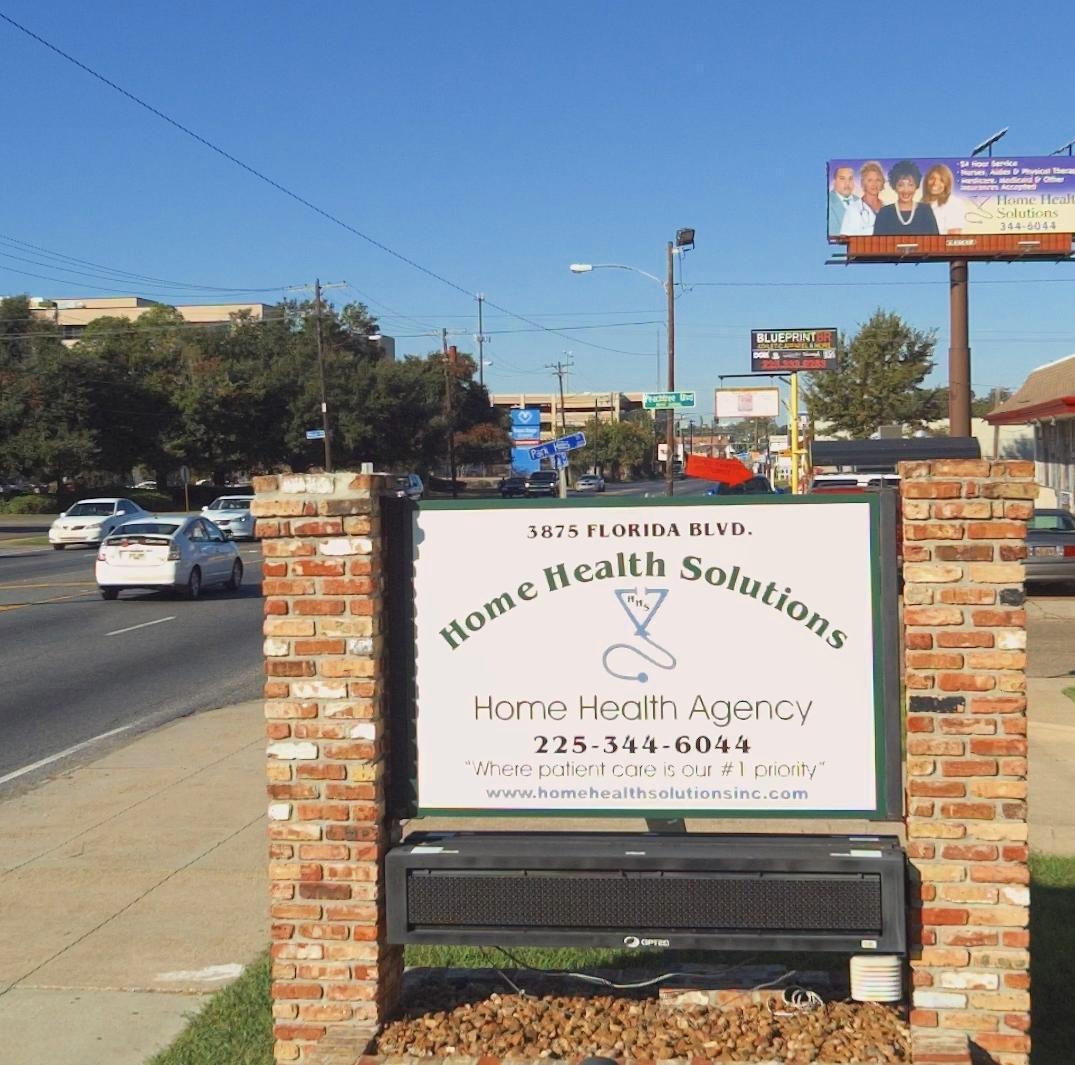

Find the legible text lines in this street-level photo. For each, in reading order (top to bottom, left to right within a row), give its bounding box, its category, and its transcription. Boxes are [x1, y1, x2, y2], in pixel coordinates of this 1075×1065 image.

[995, 191, 1072, 207] None: Home Healt
[994, 205, 1061, 221] None: Solutions
[998, 219, 1058, 234] None: 344-*044
[754, 329, 834, 345] None: BLUEPRINTBR
[528, 442, 553, 462] StreetName: Park
[525, 523, 580, 541] StreetNumber: 3875
[585, 519, 754, 540] StreetName: FLORIDA BLVD.
[625, 592, 653, 614] None: HHS
[432, 546, 853, 653] BusinessName: Home Health Solutions
[472, 690, 819, 730] None: Home Health Agency
[530, 731, 756, 757] None: 225-344-6044
[460, 754, 829, 784] None: "Where patient care is our #1 priority"
[482, 782, 811, 802] None: www.homehealthsolutionsinc.com